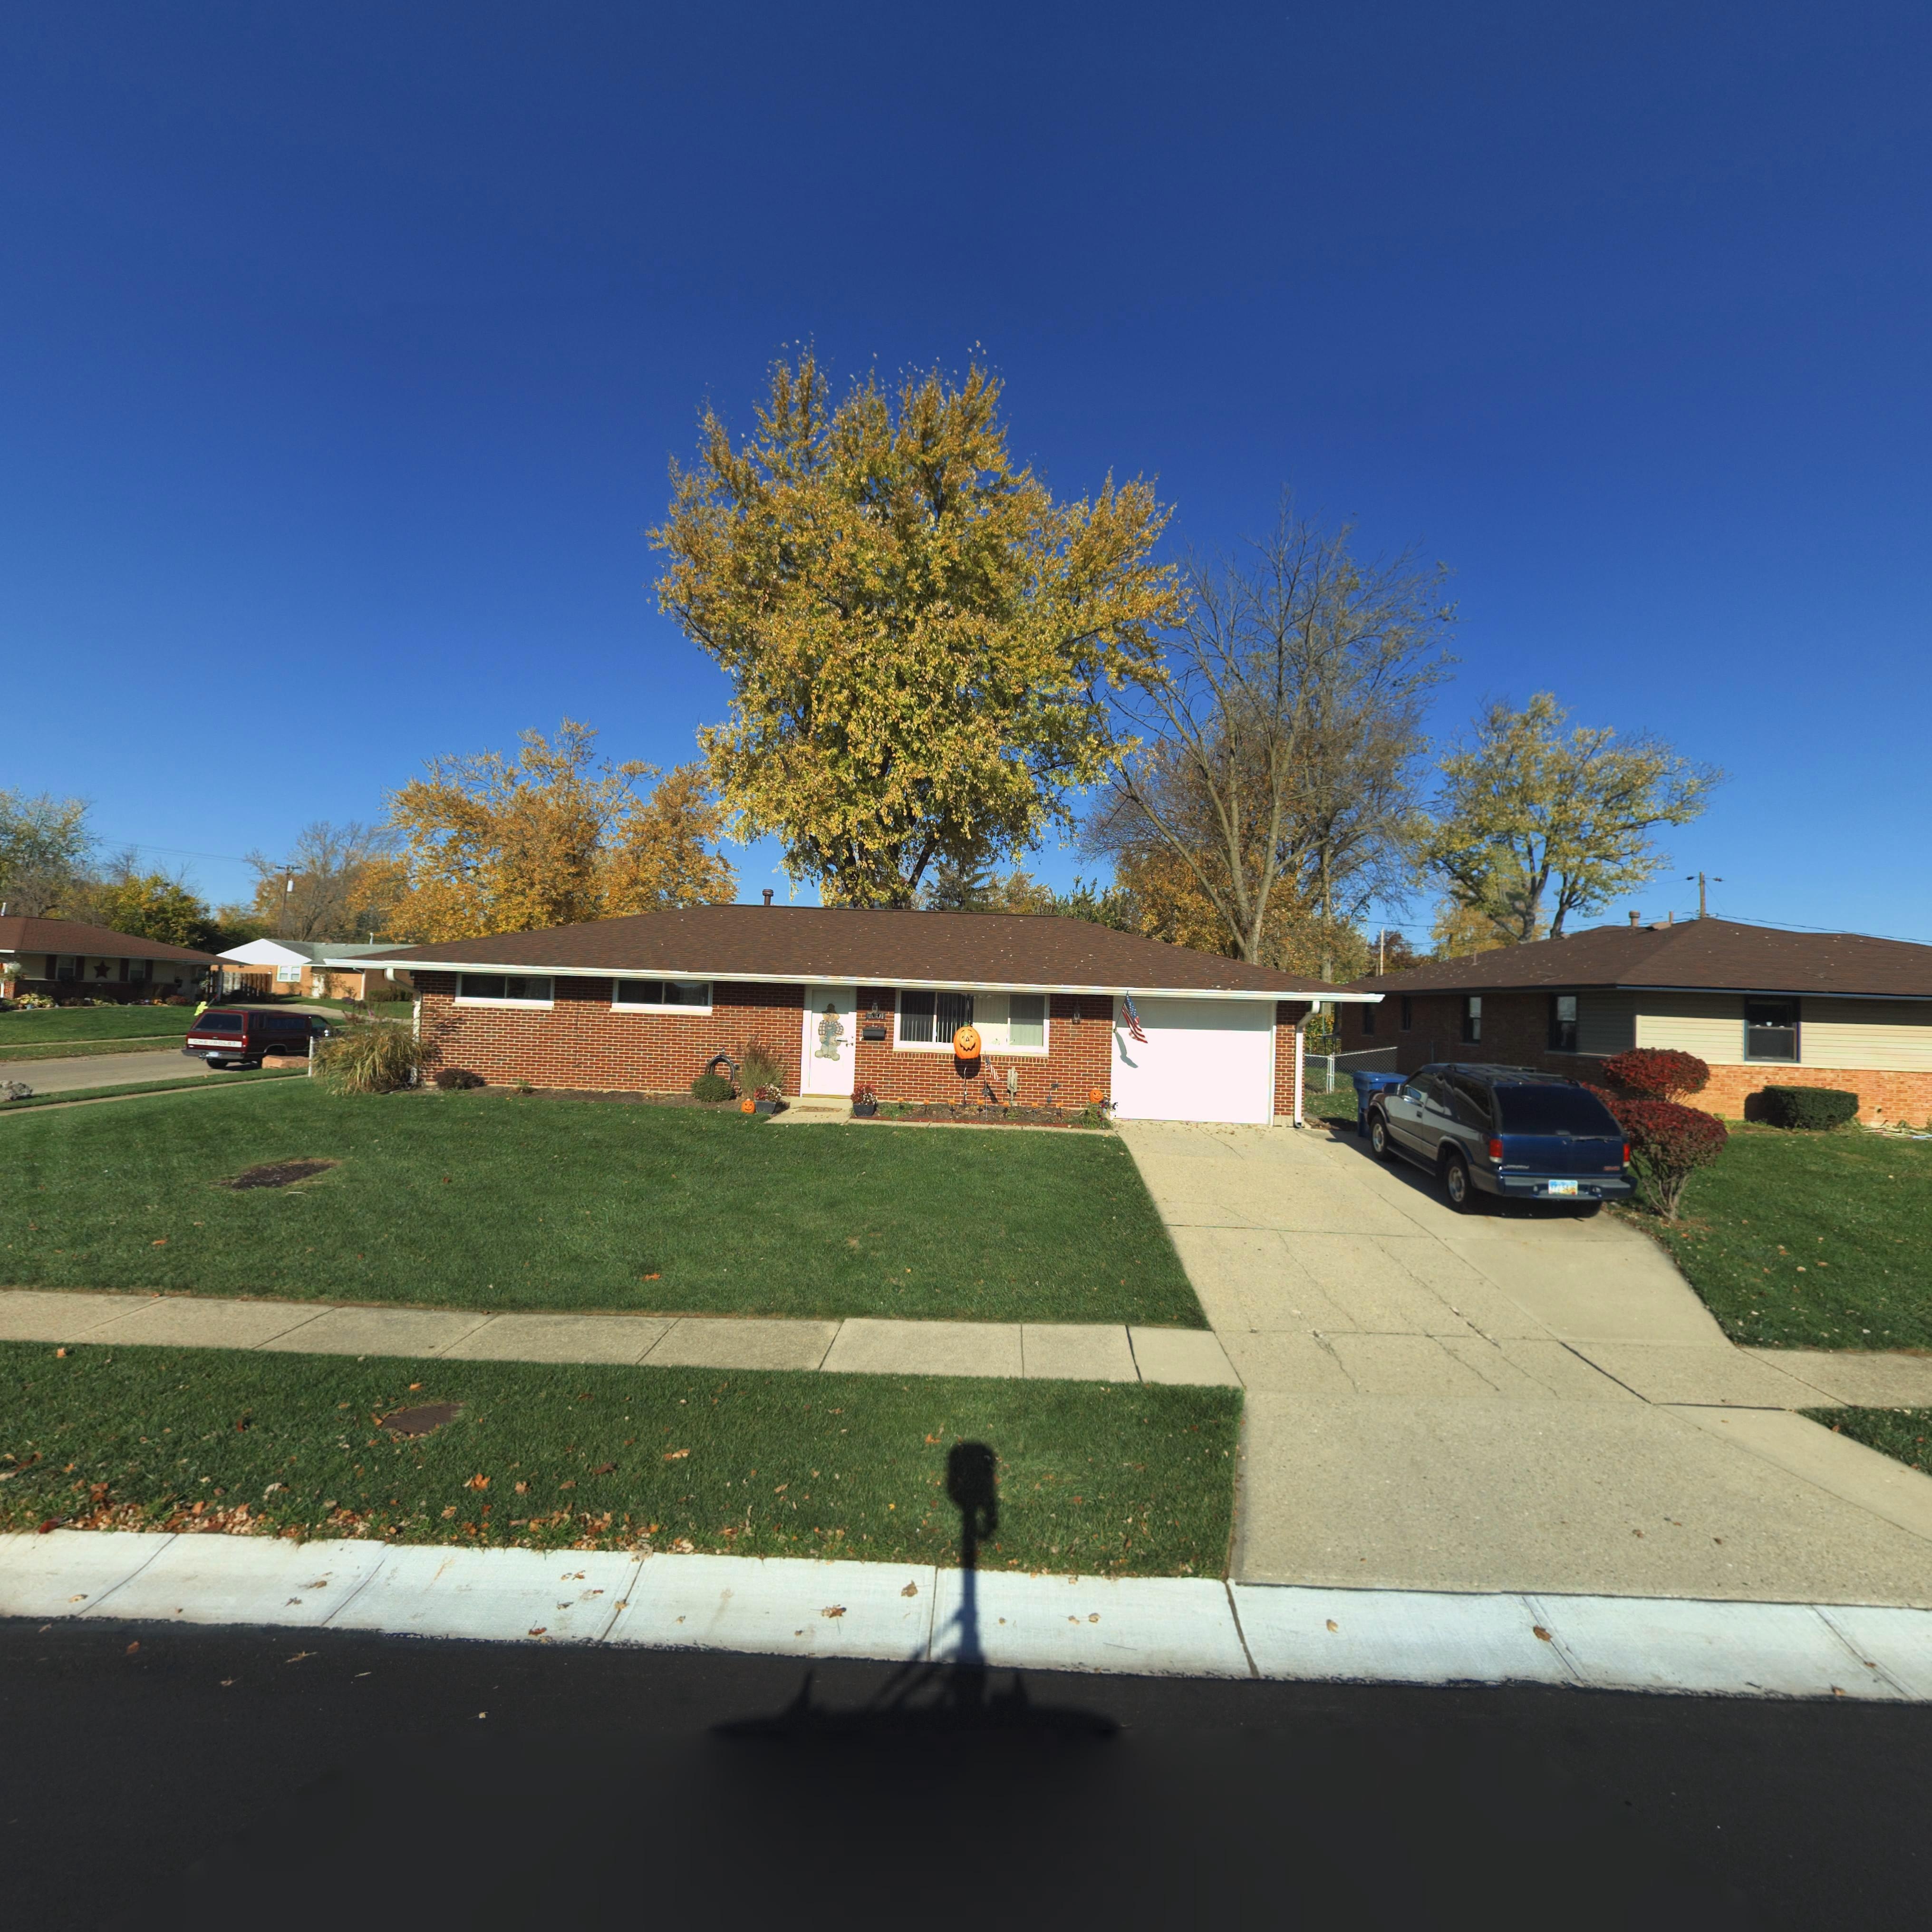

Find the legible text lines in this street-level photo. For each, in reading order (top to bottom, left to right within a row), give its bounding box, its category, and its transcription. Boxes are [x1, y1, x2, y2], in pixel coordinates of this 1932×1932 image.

[867, 1012, 885, 1020] StreetNumber: 7**1